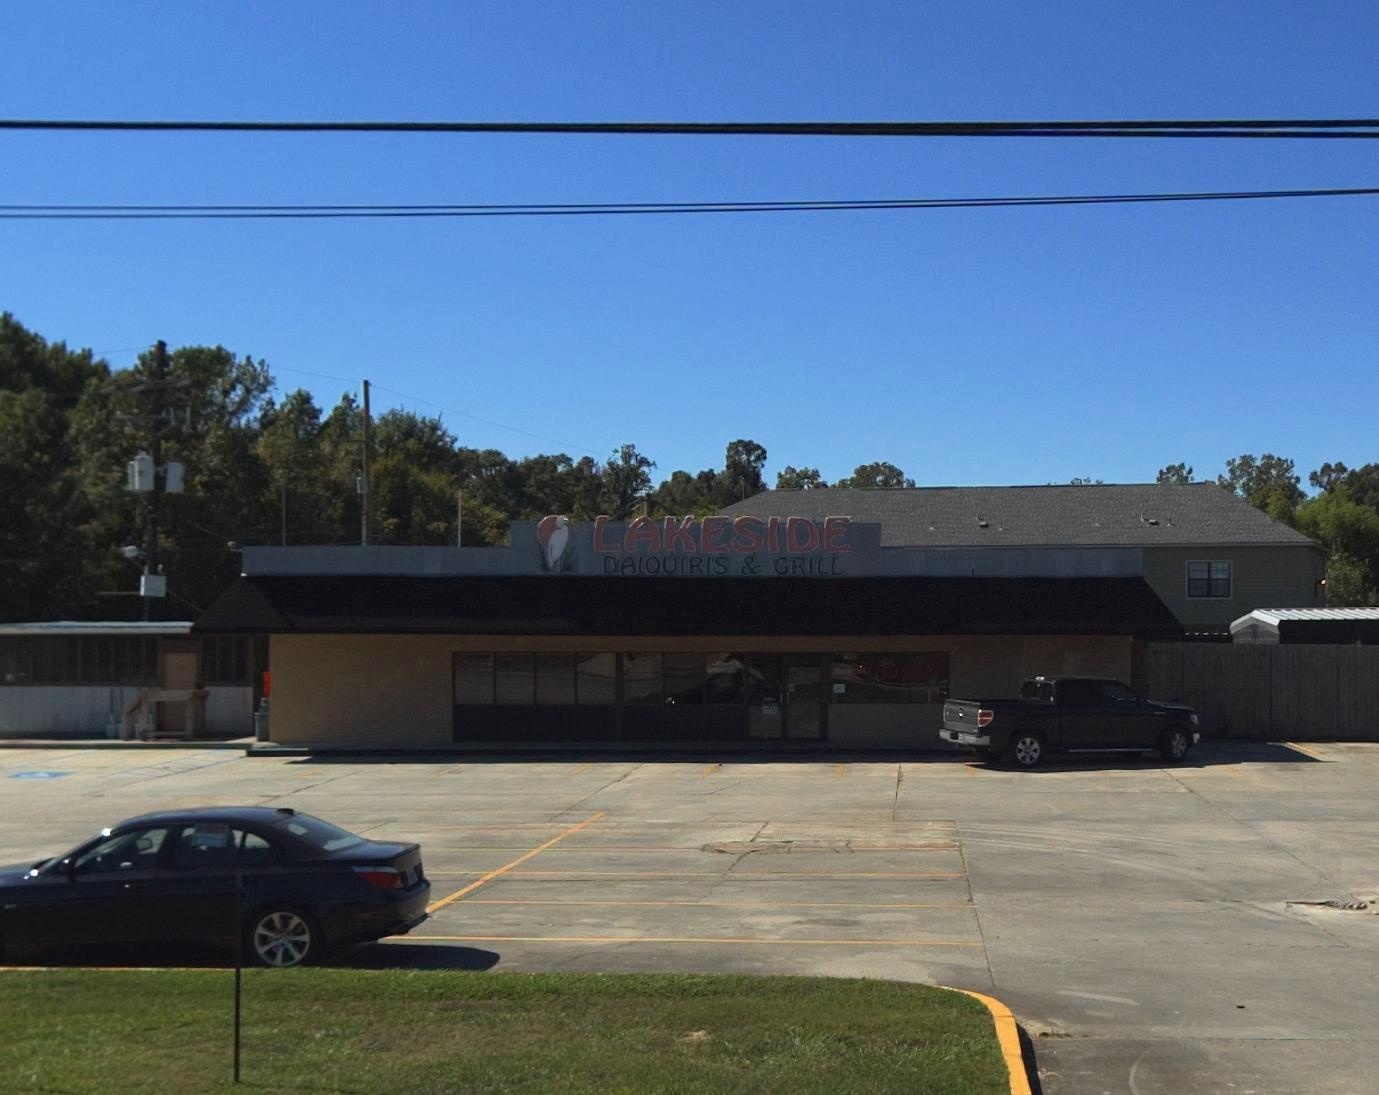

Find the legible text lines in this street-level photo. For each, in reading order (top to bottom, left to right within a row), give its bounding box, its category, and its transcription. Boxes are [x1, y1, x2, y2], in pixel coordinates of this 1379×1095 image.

[593, 515, 853, 553] BusinessName: LAKESIDE
[602, 555, 843, 576] None: DAIQUIRIS & GRILL